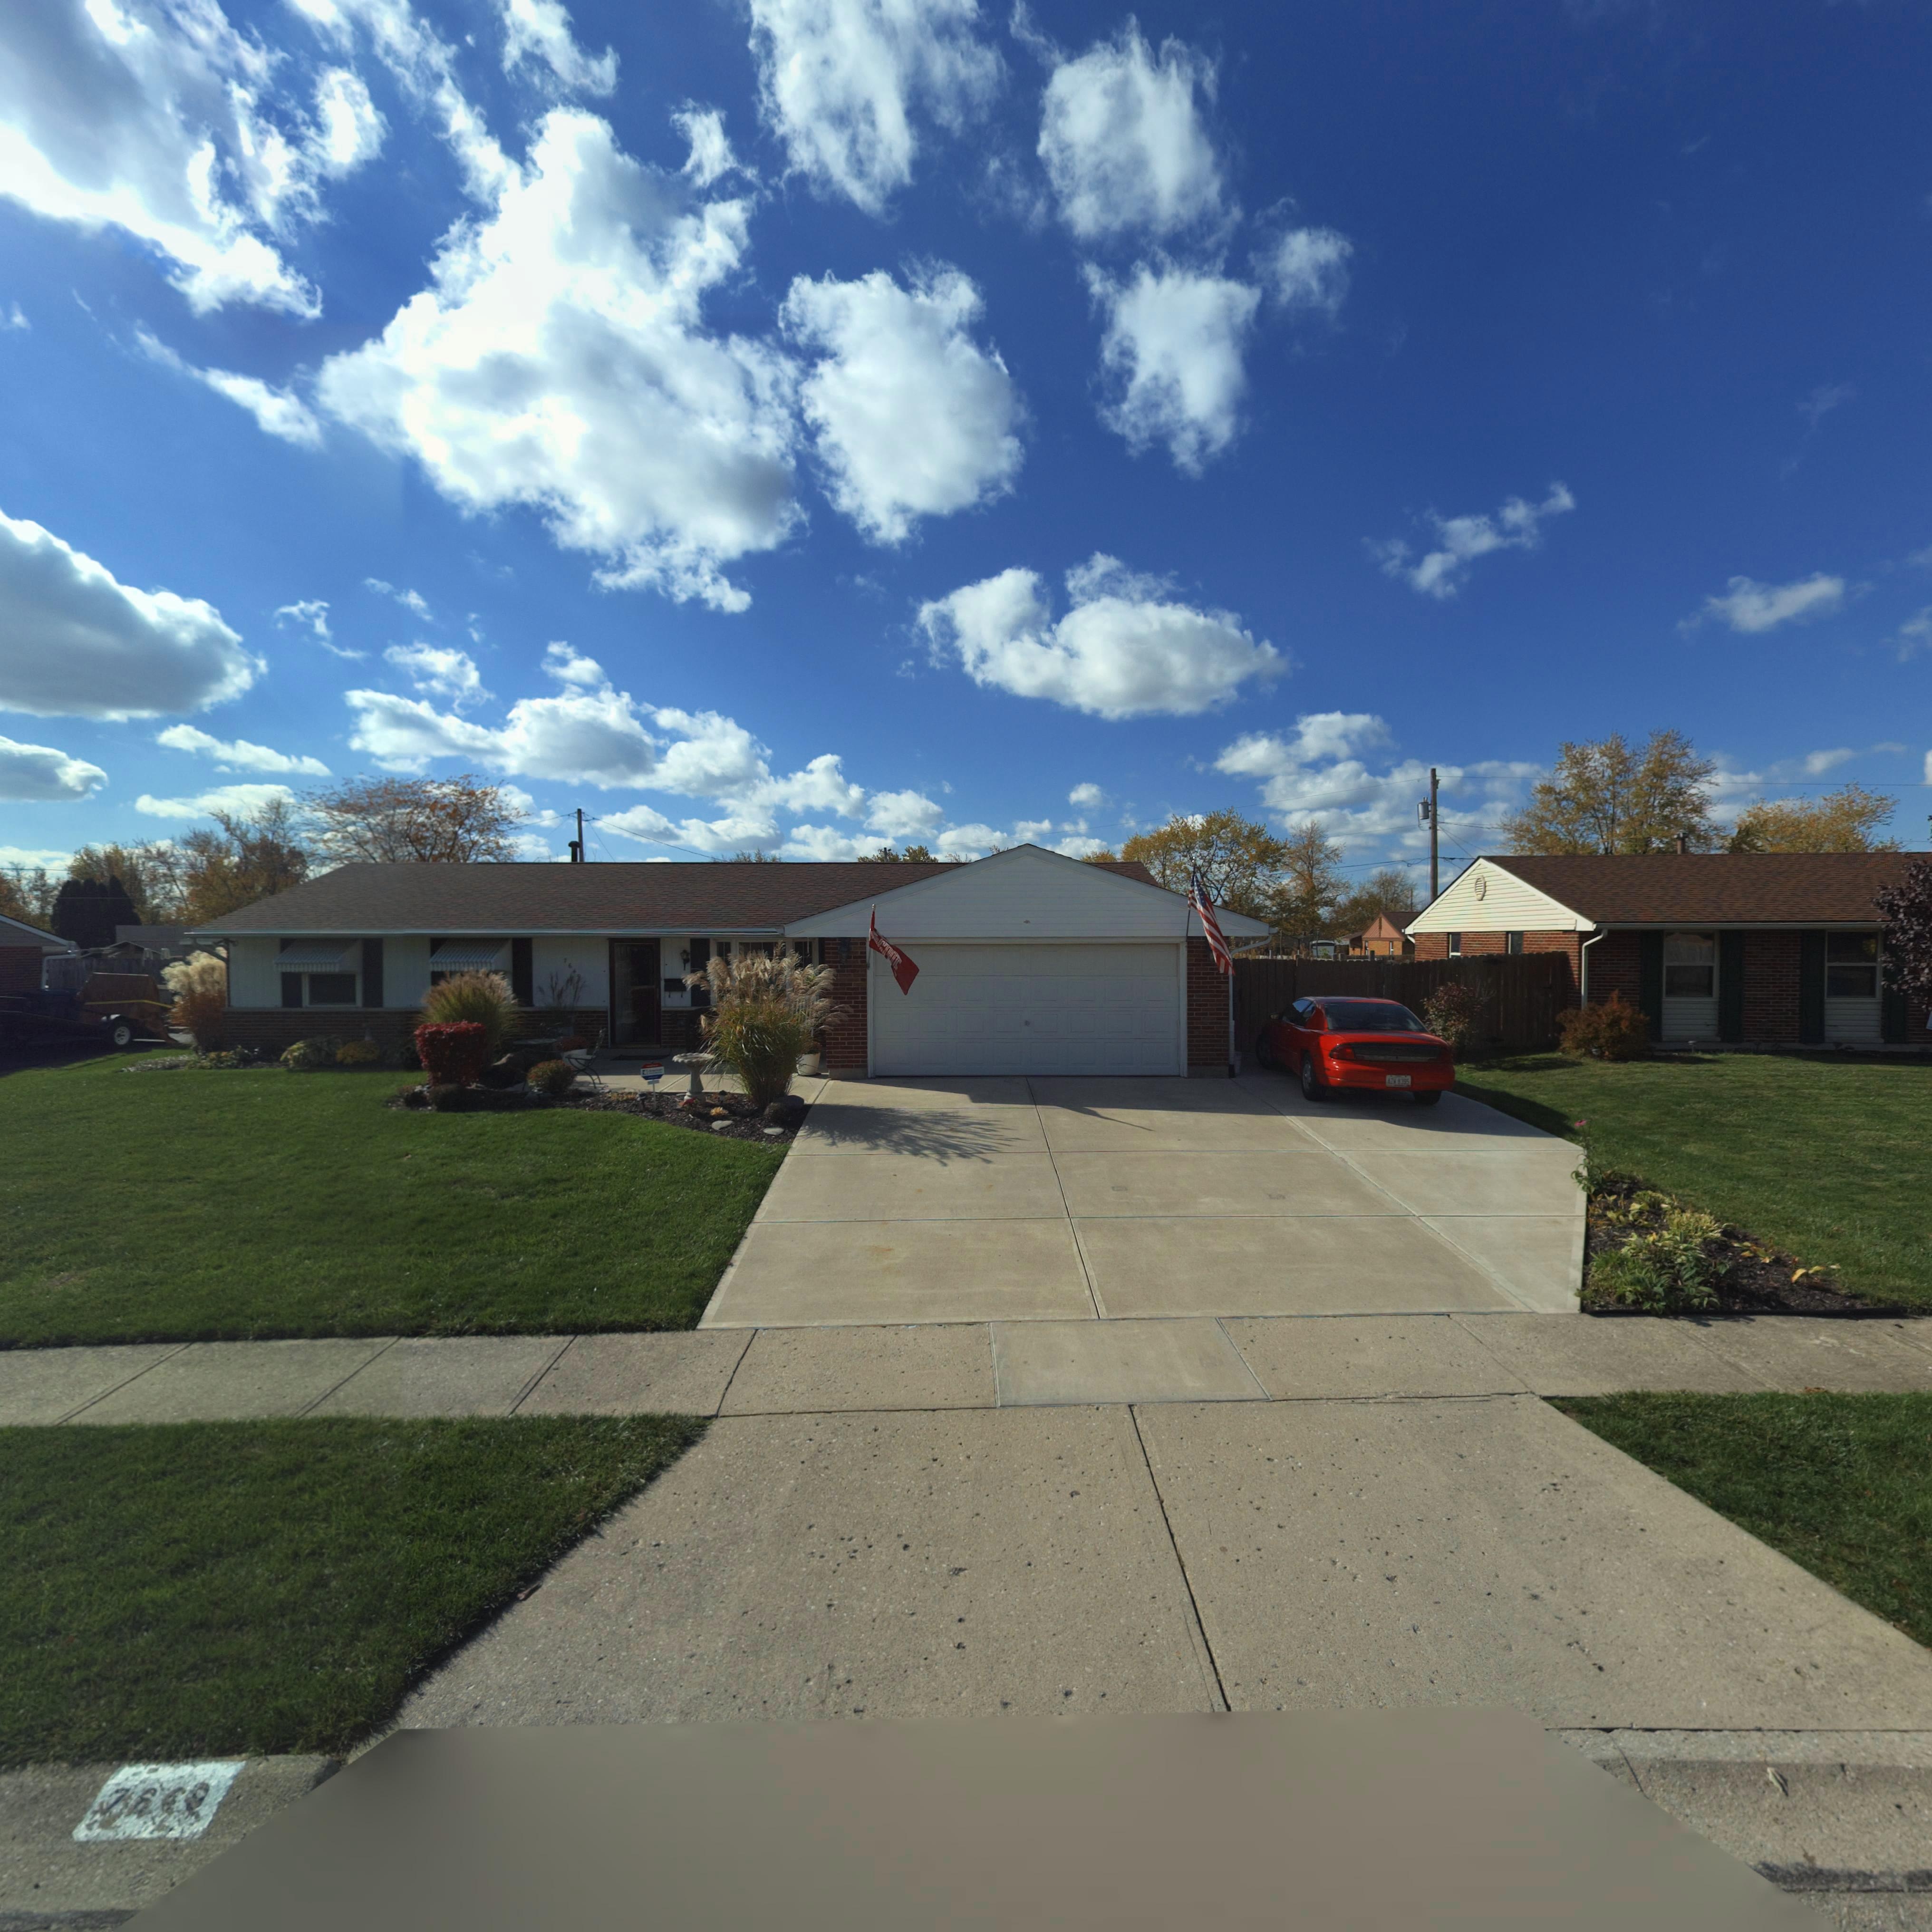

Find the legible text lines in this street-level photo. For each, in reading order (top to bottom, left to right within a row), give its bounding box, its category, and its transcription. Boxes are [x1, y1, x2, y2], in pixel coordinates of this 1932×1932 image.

[562, 957, 582, 980] StreetNumber: 7649
[95, 1781, 212, 1817] StreetNumber: 7640